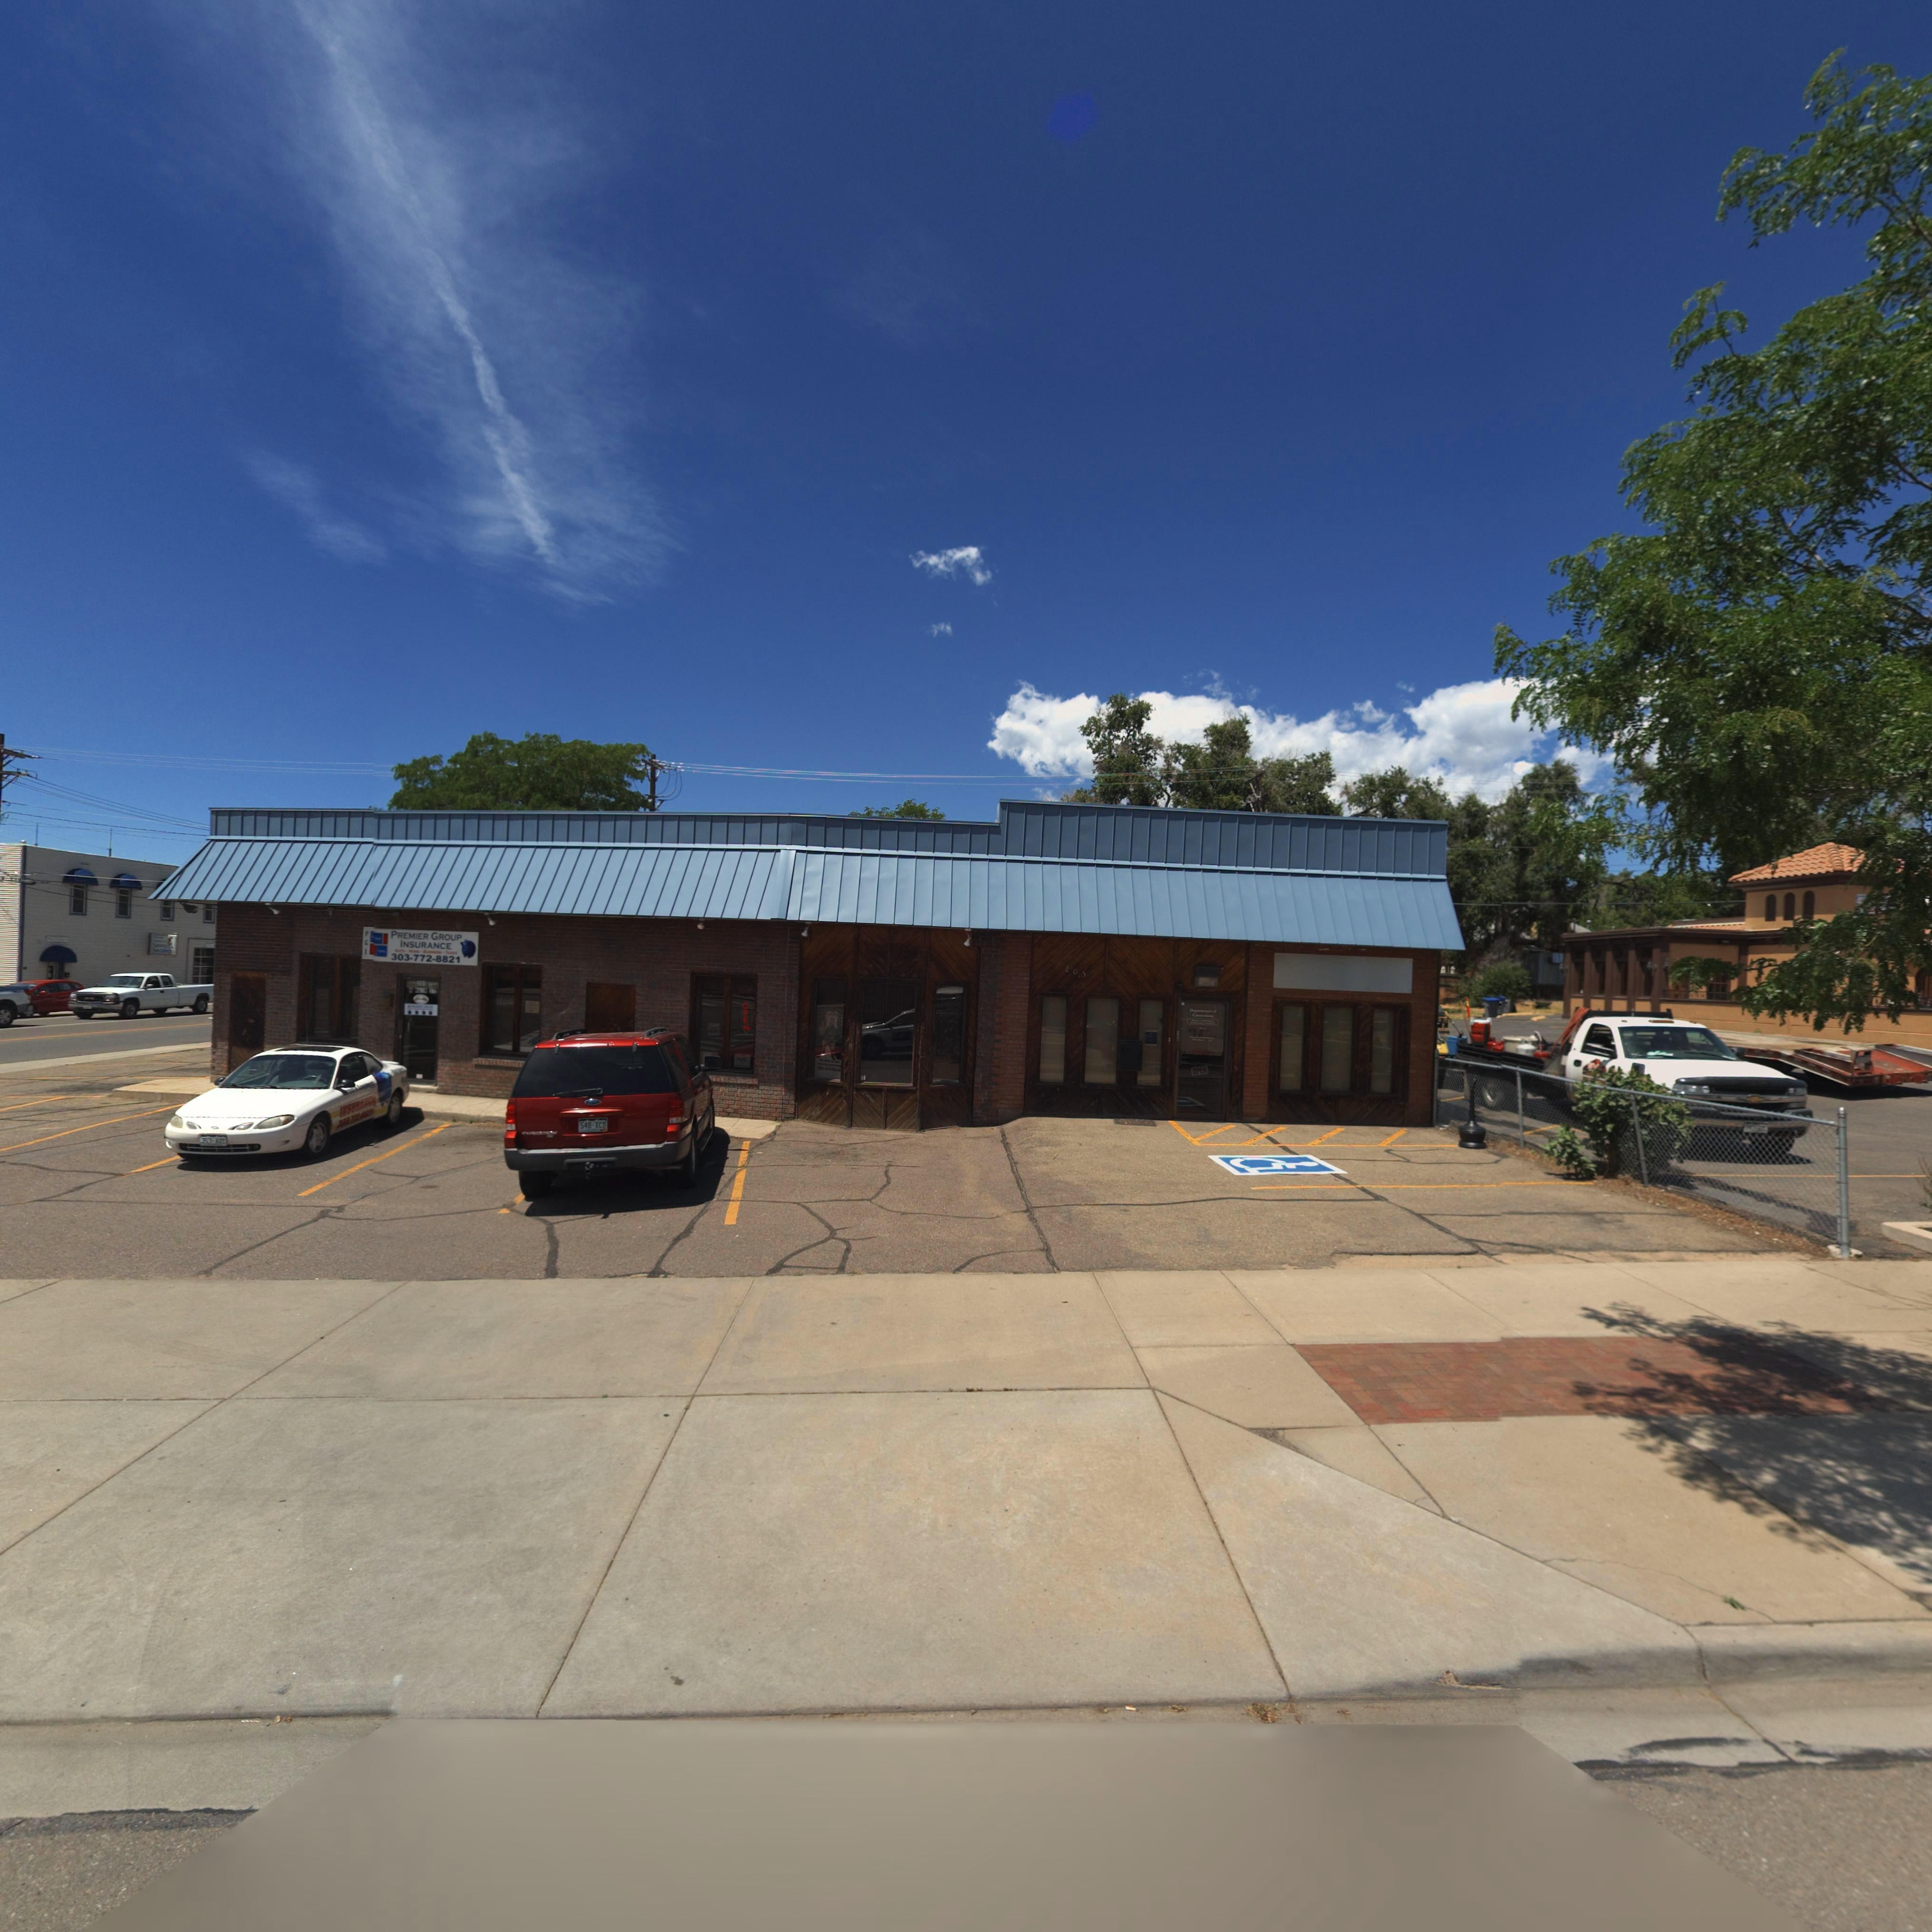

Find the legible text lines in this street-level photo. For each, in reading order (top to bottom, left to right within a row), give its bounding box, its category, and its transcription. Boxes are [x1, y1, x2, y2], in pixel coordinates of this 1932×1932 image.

[390, 930, 463, 941] BusinessName: PREMIER GROUP
[151, 941, 168, 948] BusinessName: Savv*
[364, 930, 368, 955] BusinessName: PGI
[399, 939, 452, 950] BusinessName: INSURANCE
[151, 947, 171, 953] BusinessName: Se**nd*
[1064, 965, 1086, 977] StreetNumber: 205
[416, 980, 426, 986] StreetNumber: 20*
[414, 987, 435, 993] StreetName: MAIN ST
[1189, 1008, 1217, 1014] BusinessName: D*p******* of
[1191, 1013, 1214, 1018] BusinessName: Co*********